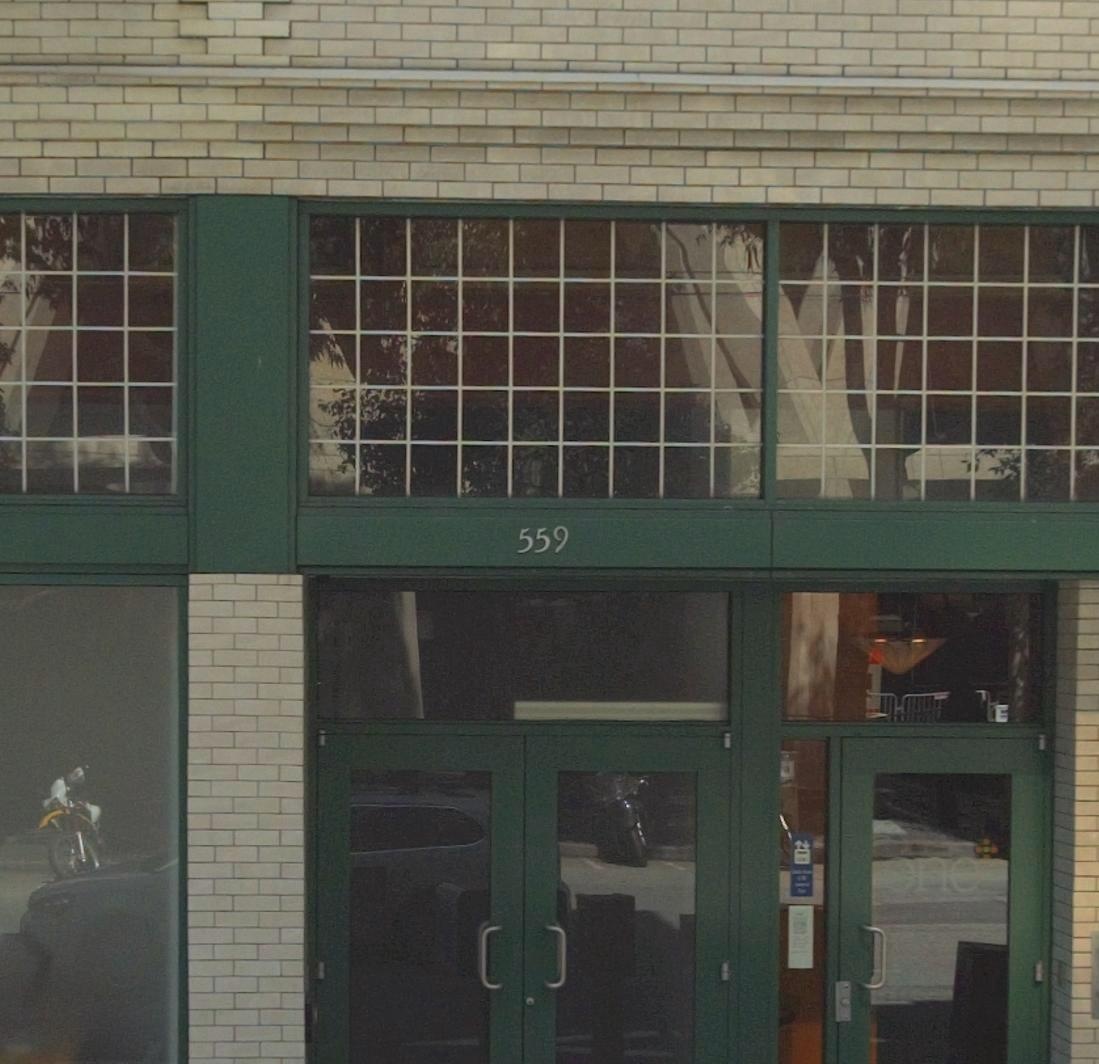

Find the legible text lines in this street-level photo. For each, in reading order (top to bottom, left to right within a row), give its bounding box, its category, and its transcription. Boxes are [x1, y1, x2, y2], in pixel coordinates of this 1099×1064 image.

[514, 521, 571, 557] StreetNumber: 559